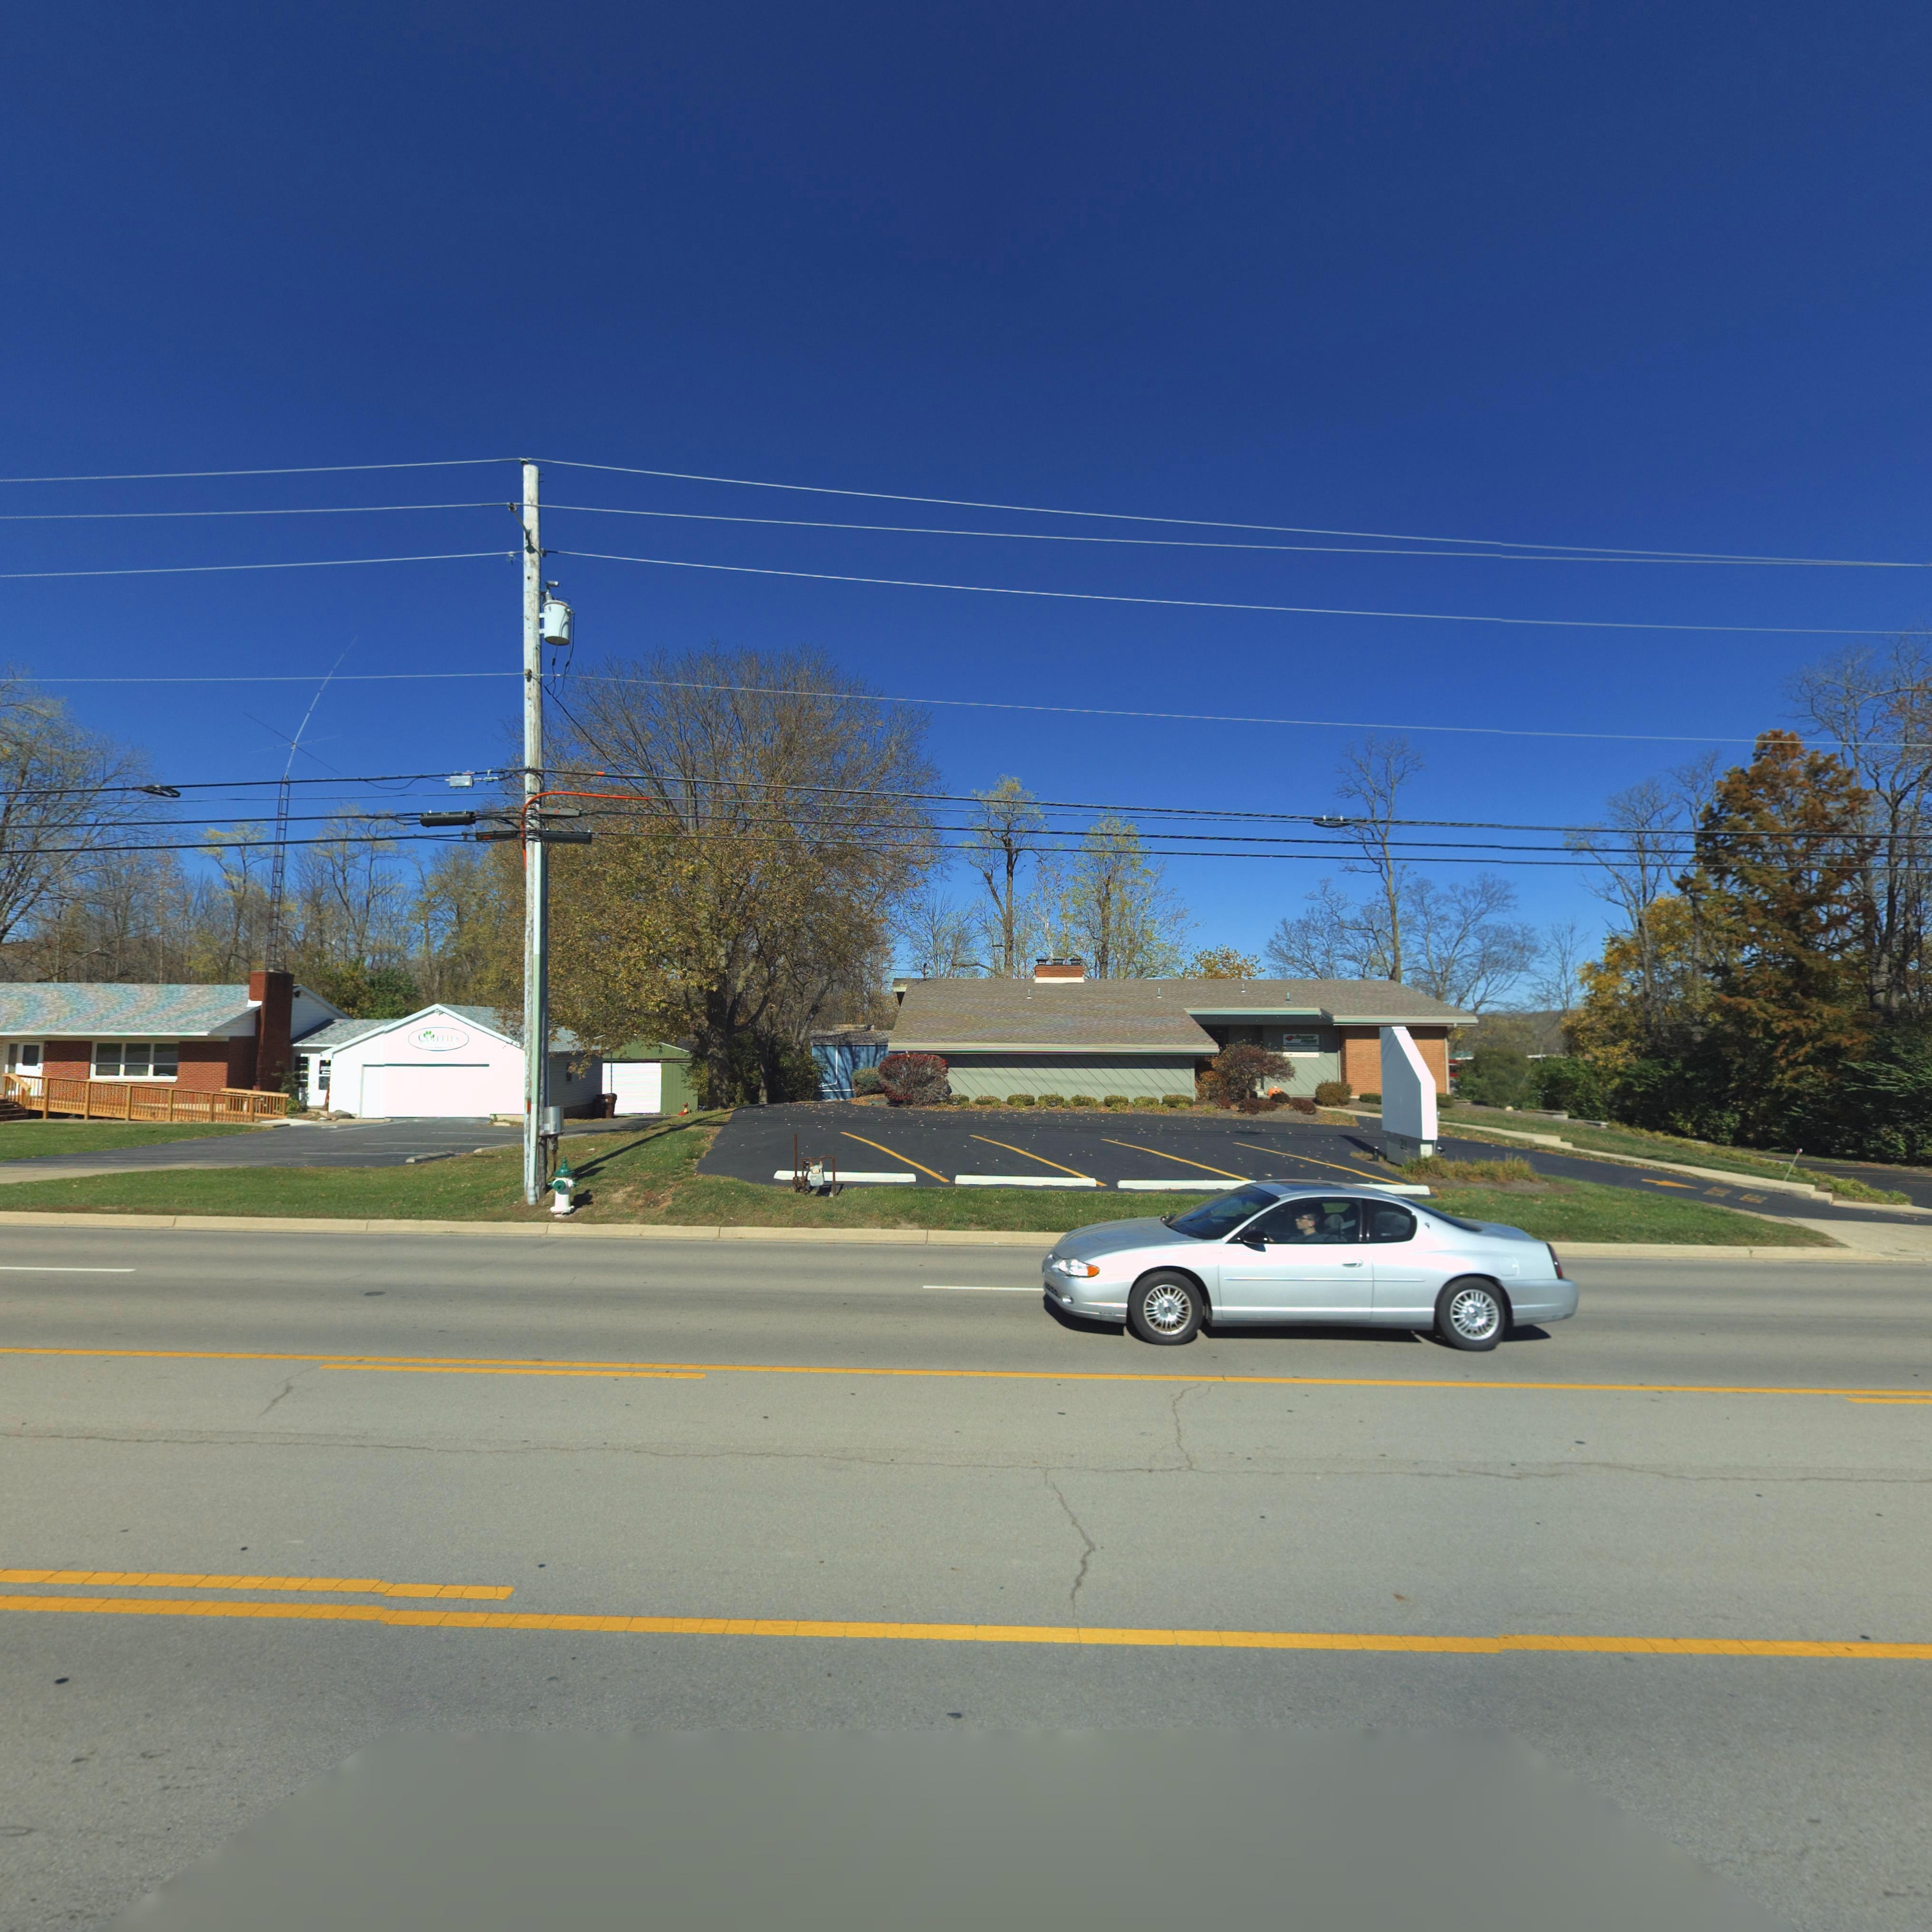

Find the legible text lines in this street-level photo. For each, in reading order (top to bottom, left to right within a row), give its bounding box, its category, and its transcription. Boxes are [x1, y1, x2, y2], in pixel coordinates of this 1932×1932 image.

[417, 1032, 460, 1043] BusinessName: COLETTES
[1399, 1138, 1408, 1151] StreetNumber: 21